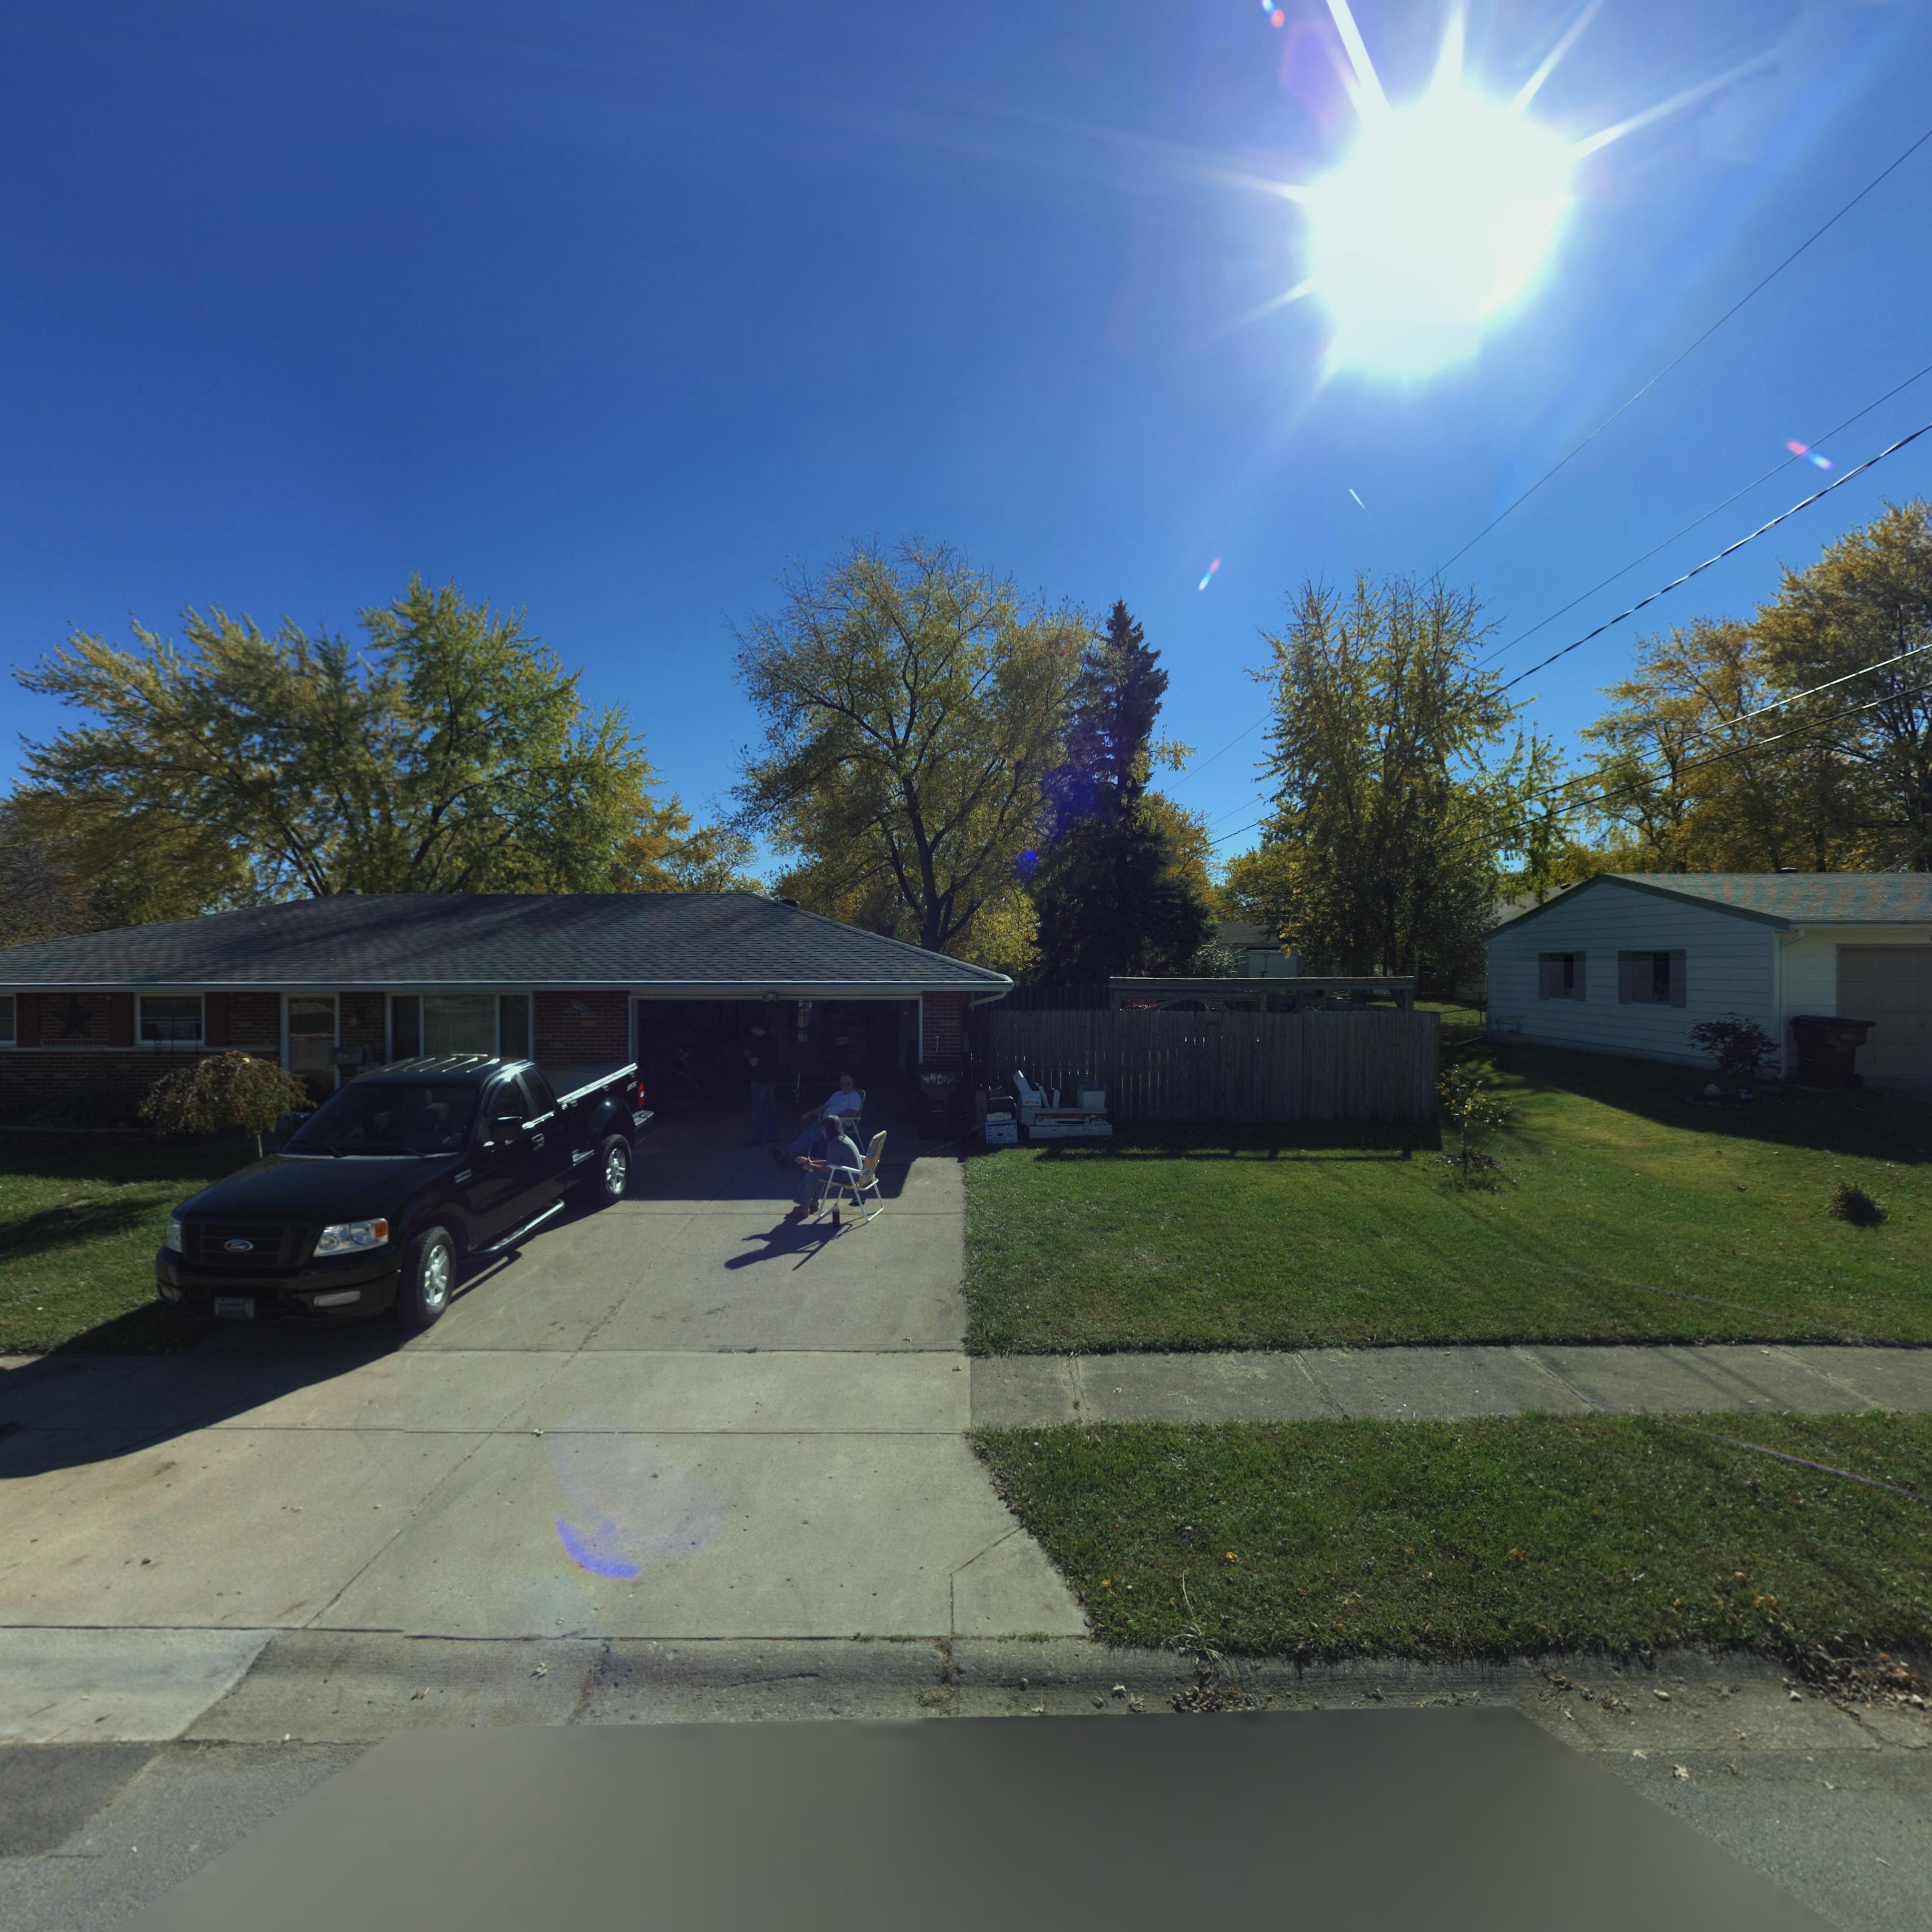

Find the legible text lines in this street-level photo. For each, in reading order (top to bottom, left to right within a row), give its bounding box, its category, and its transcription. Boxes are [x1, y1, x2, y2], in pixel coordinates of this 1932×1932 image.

[356, 1064, 369, 1072] StreetNumber: 500